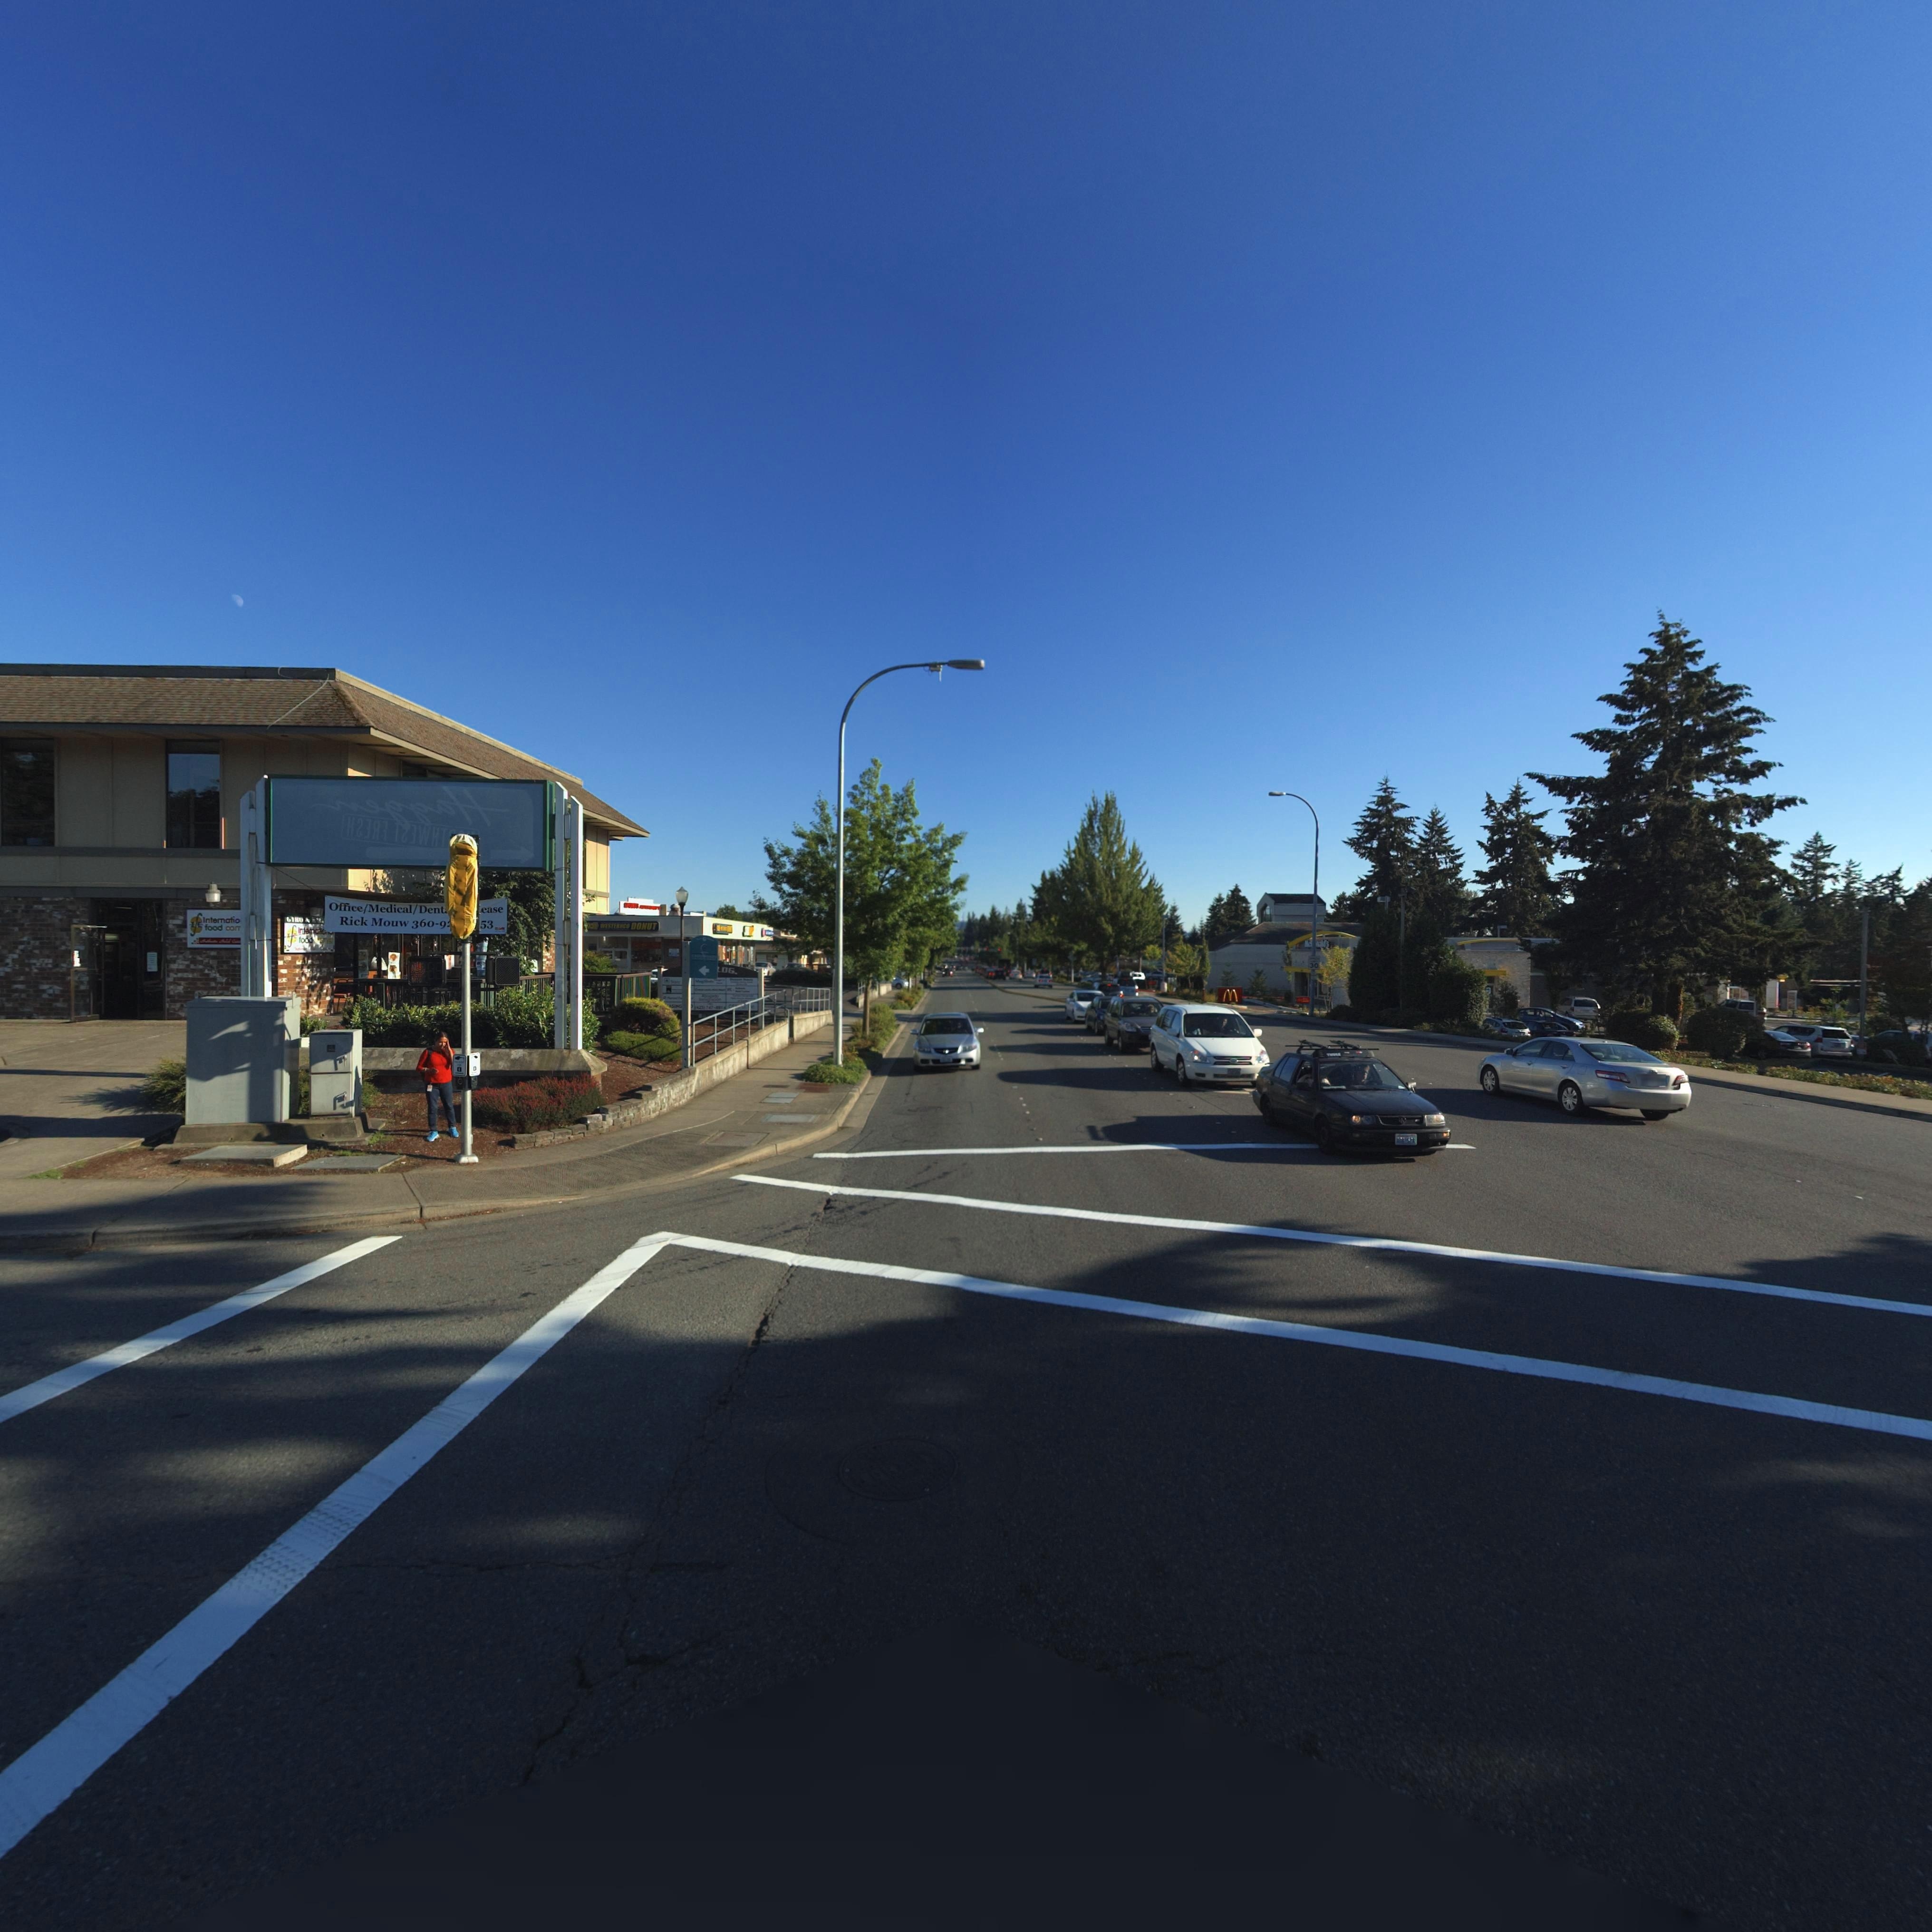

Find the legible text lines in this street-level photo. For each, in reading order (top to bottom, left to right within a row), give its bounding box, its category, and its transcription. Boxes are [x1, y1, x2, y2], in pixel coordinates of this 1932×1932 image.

[631, 921, 657, 931] BusinessName: DONUT